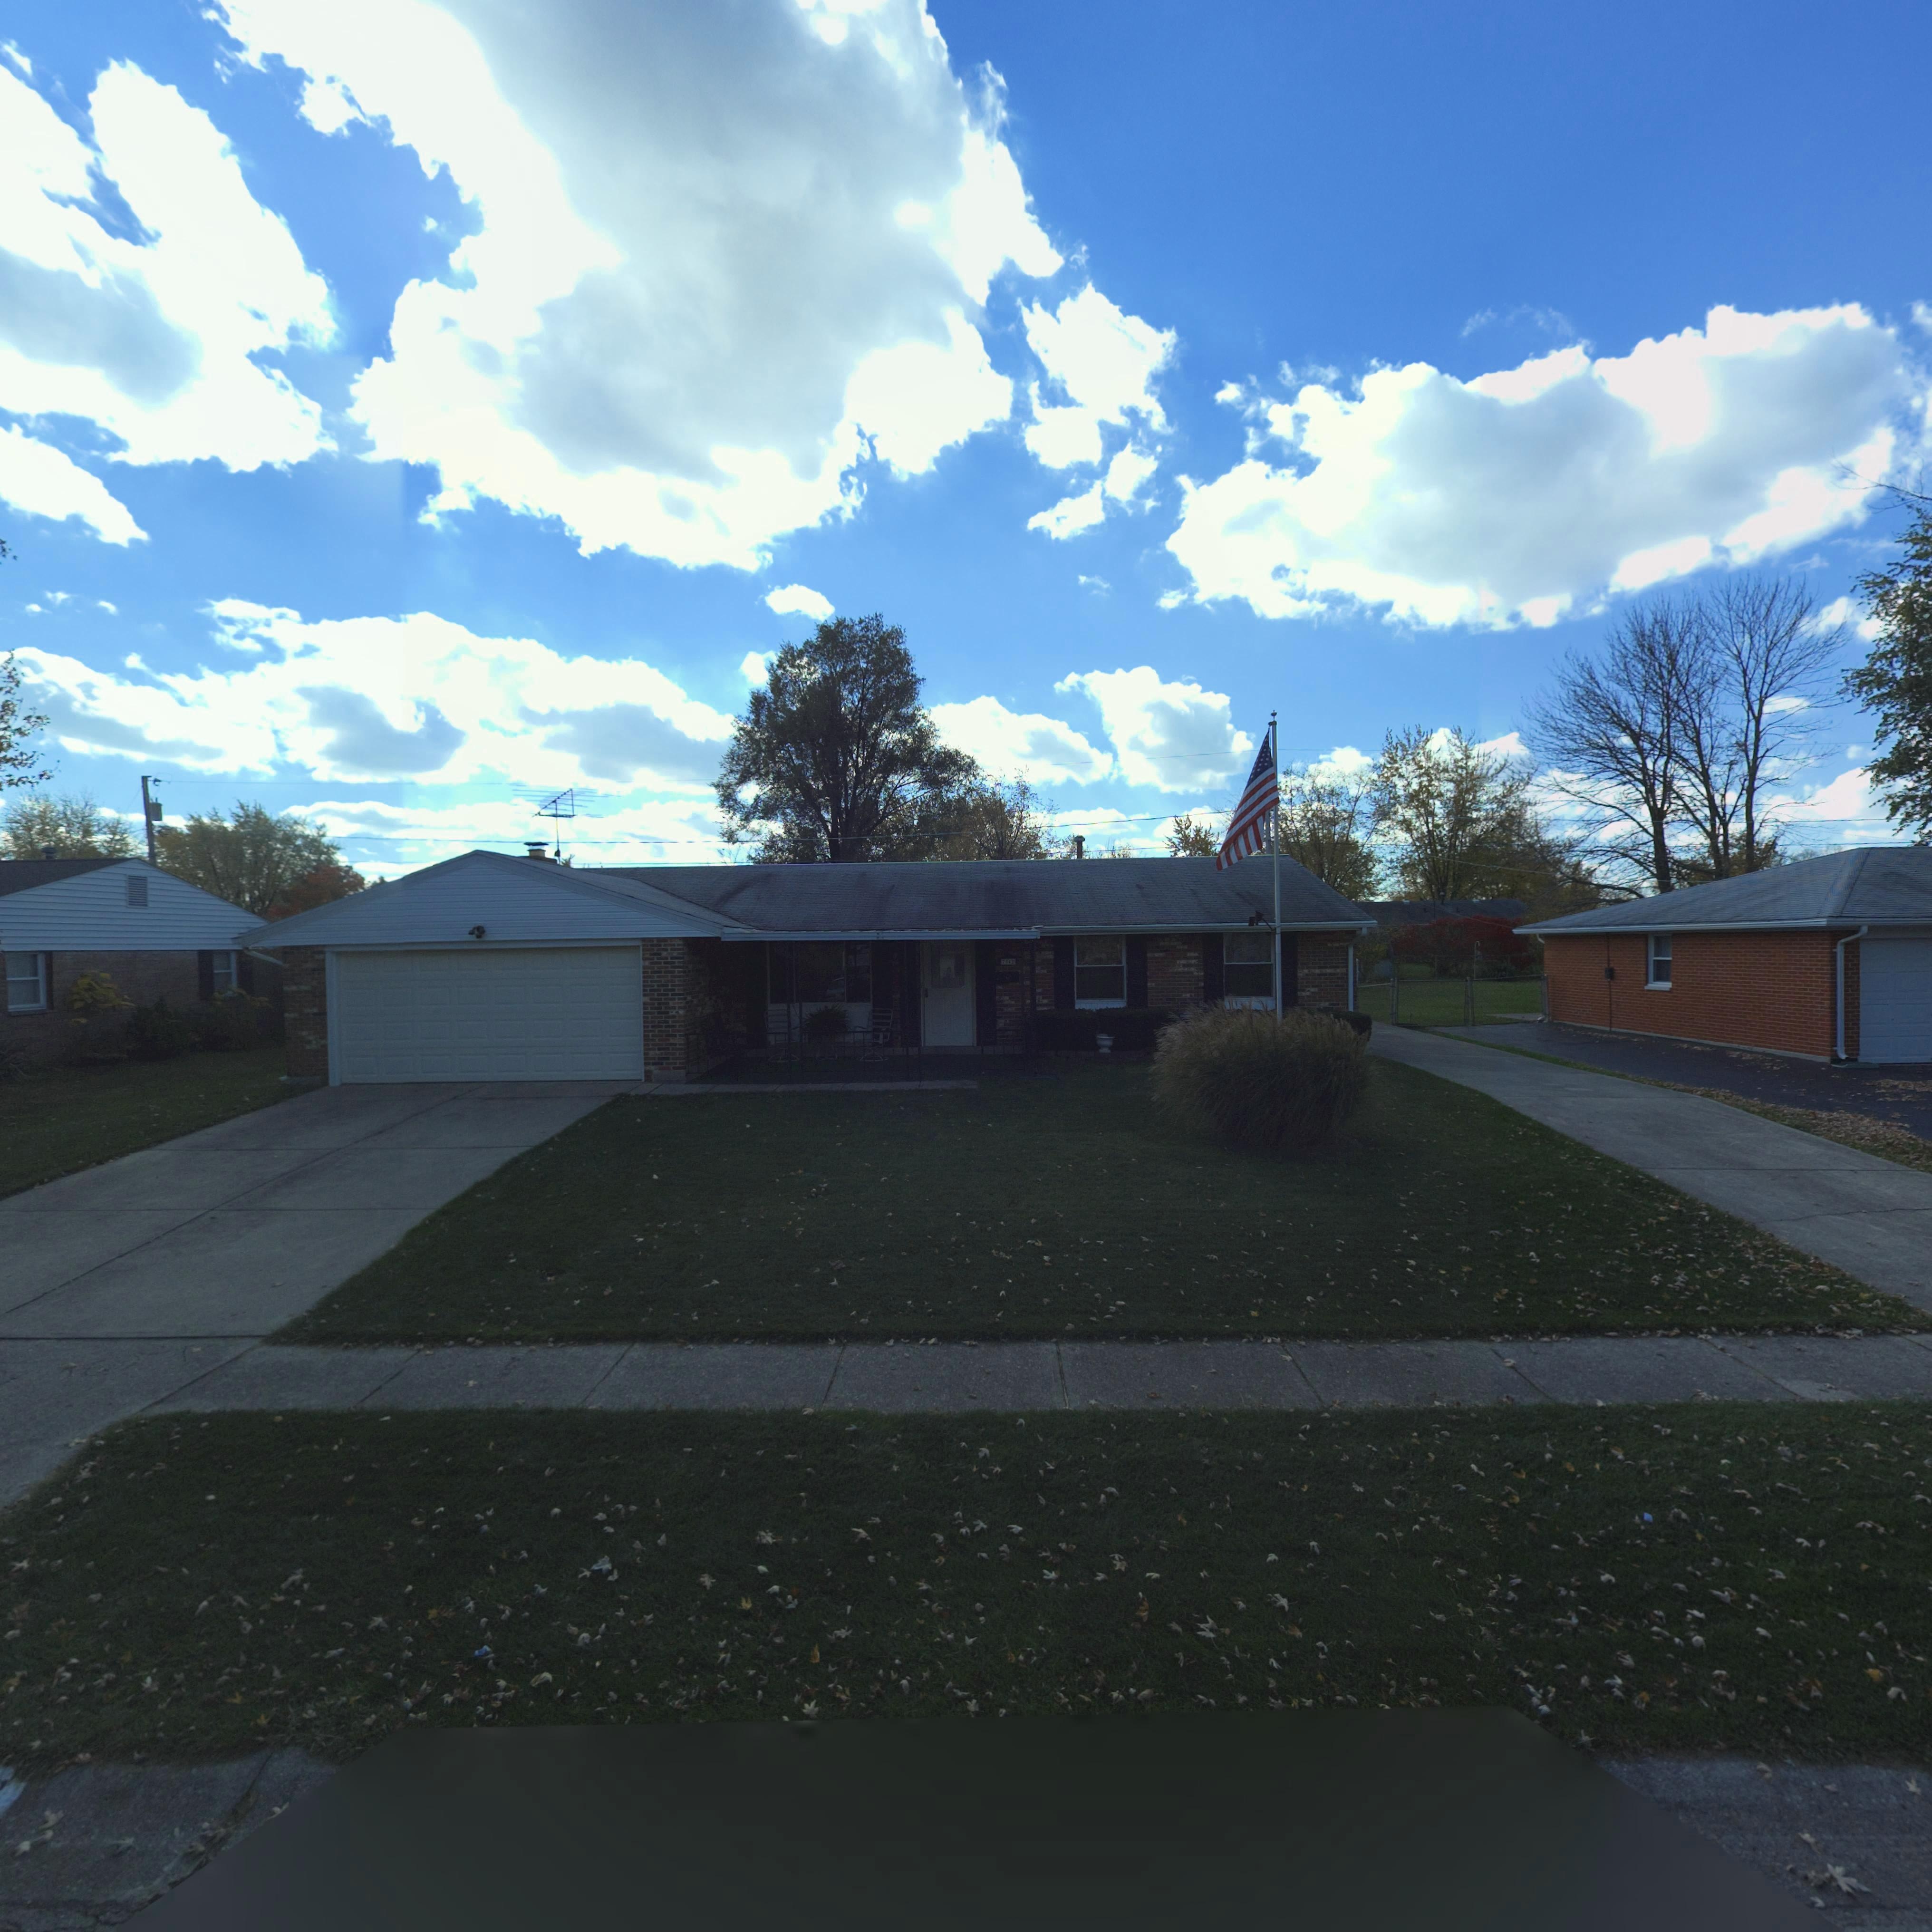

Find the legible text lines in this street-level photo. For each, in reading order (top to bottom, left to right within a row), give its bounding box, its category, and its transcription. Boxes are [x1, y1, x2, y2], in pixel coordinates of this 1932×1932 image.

[1002, 959, 1014, 965] StreetNumber: 7842